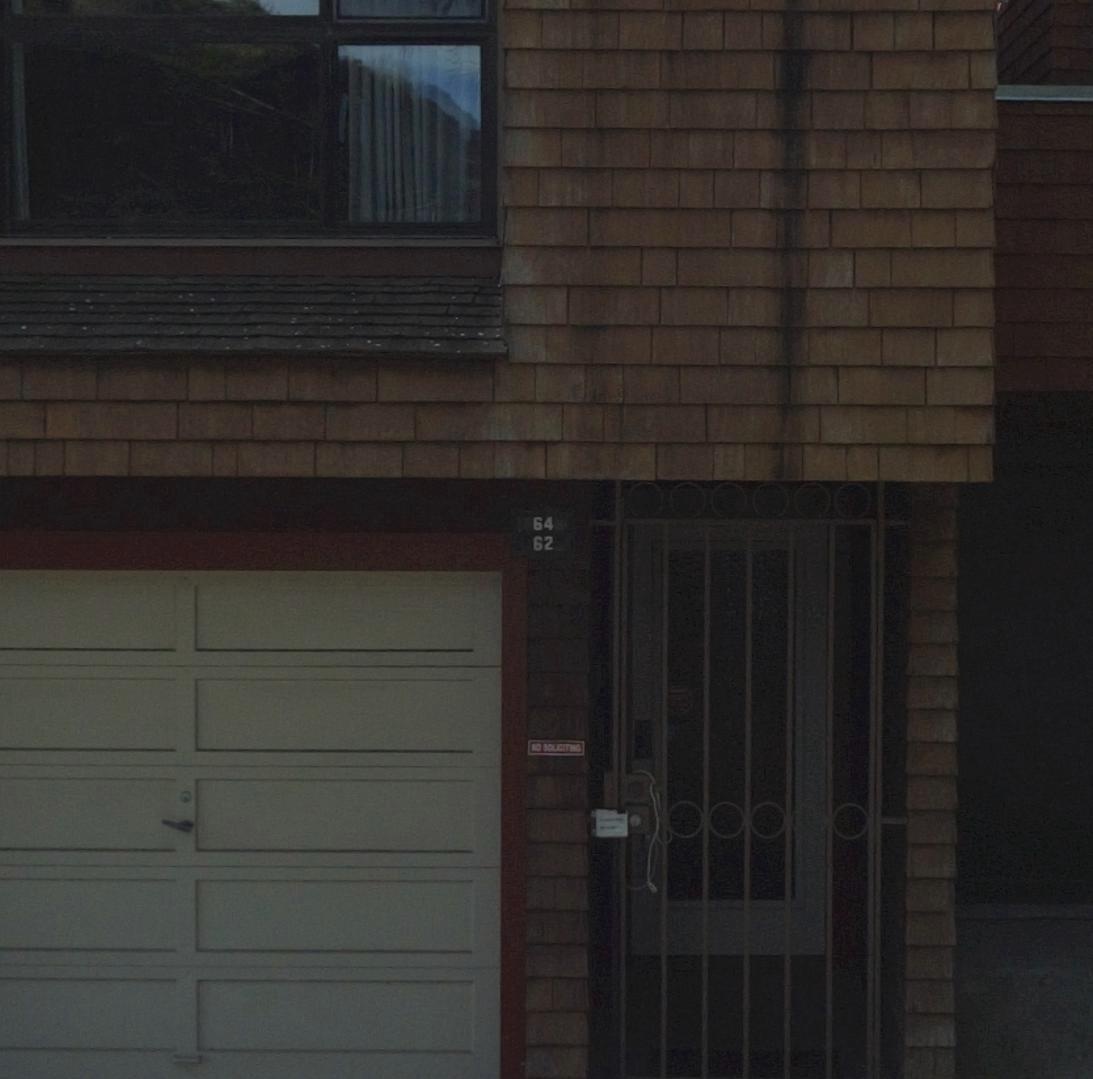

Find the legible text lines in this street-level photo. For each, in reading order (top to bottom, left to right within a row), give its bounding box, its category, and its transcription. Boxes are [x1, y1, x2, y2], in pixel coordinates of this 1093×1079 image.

[532, 515, 555, 532] StreetNumber: 64
[532, 534, 554, 552] StreetNumber: 62
[529, 741, 581, 752] None: NO SOLICITING